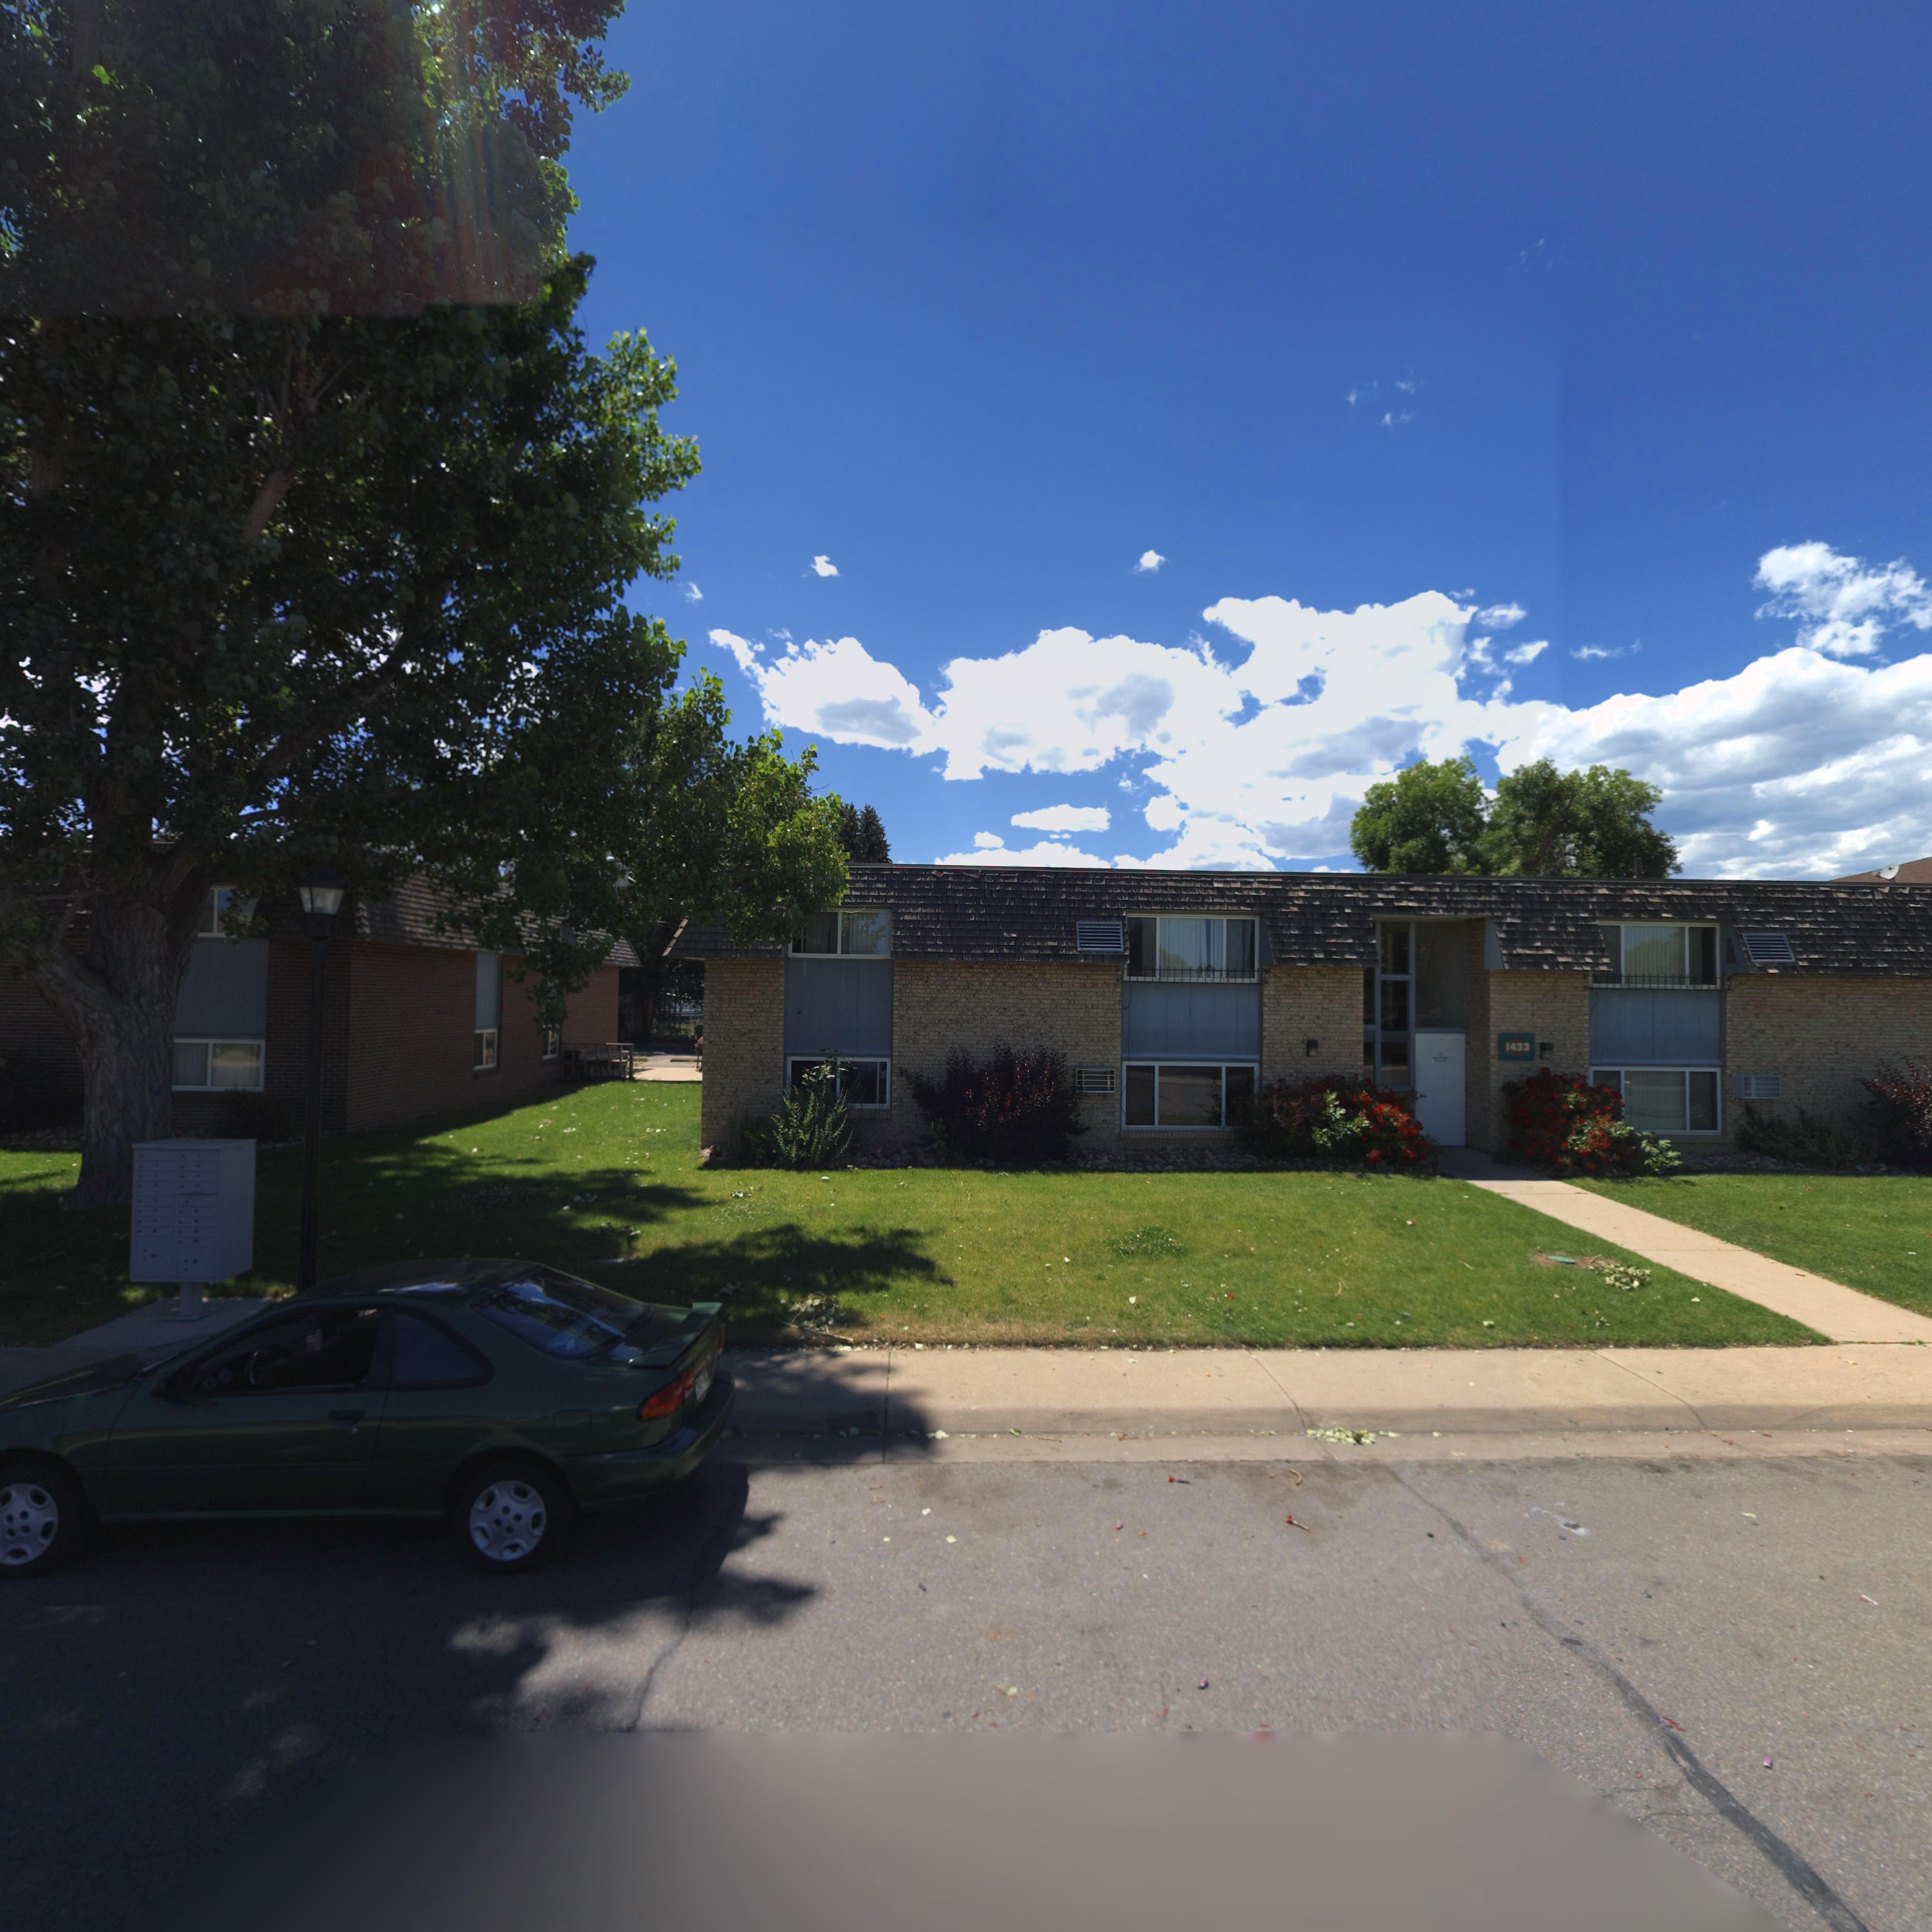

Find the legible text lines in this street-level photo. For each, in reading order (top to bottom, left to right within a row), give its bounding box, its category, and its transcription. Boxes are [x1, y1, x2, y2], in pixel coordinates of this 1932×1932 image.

[1505, 1041, 1530, 1052] StreetNumber: 1433